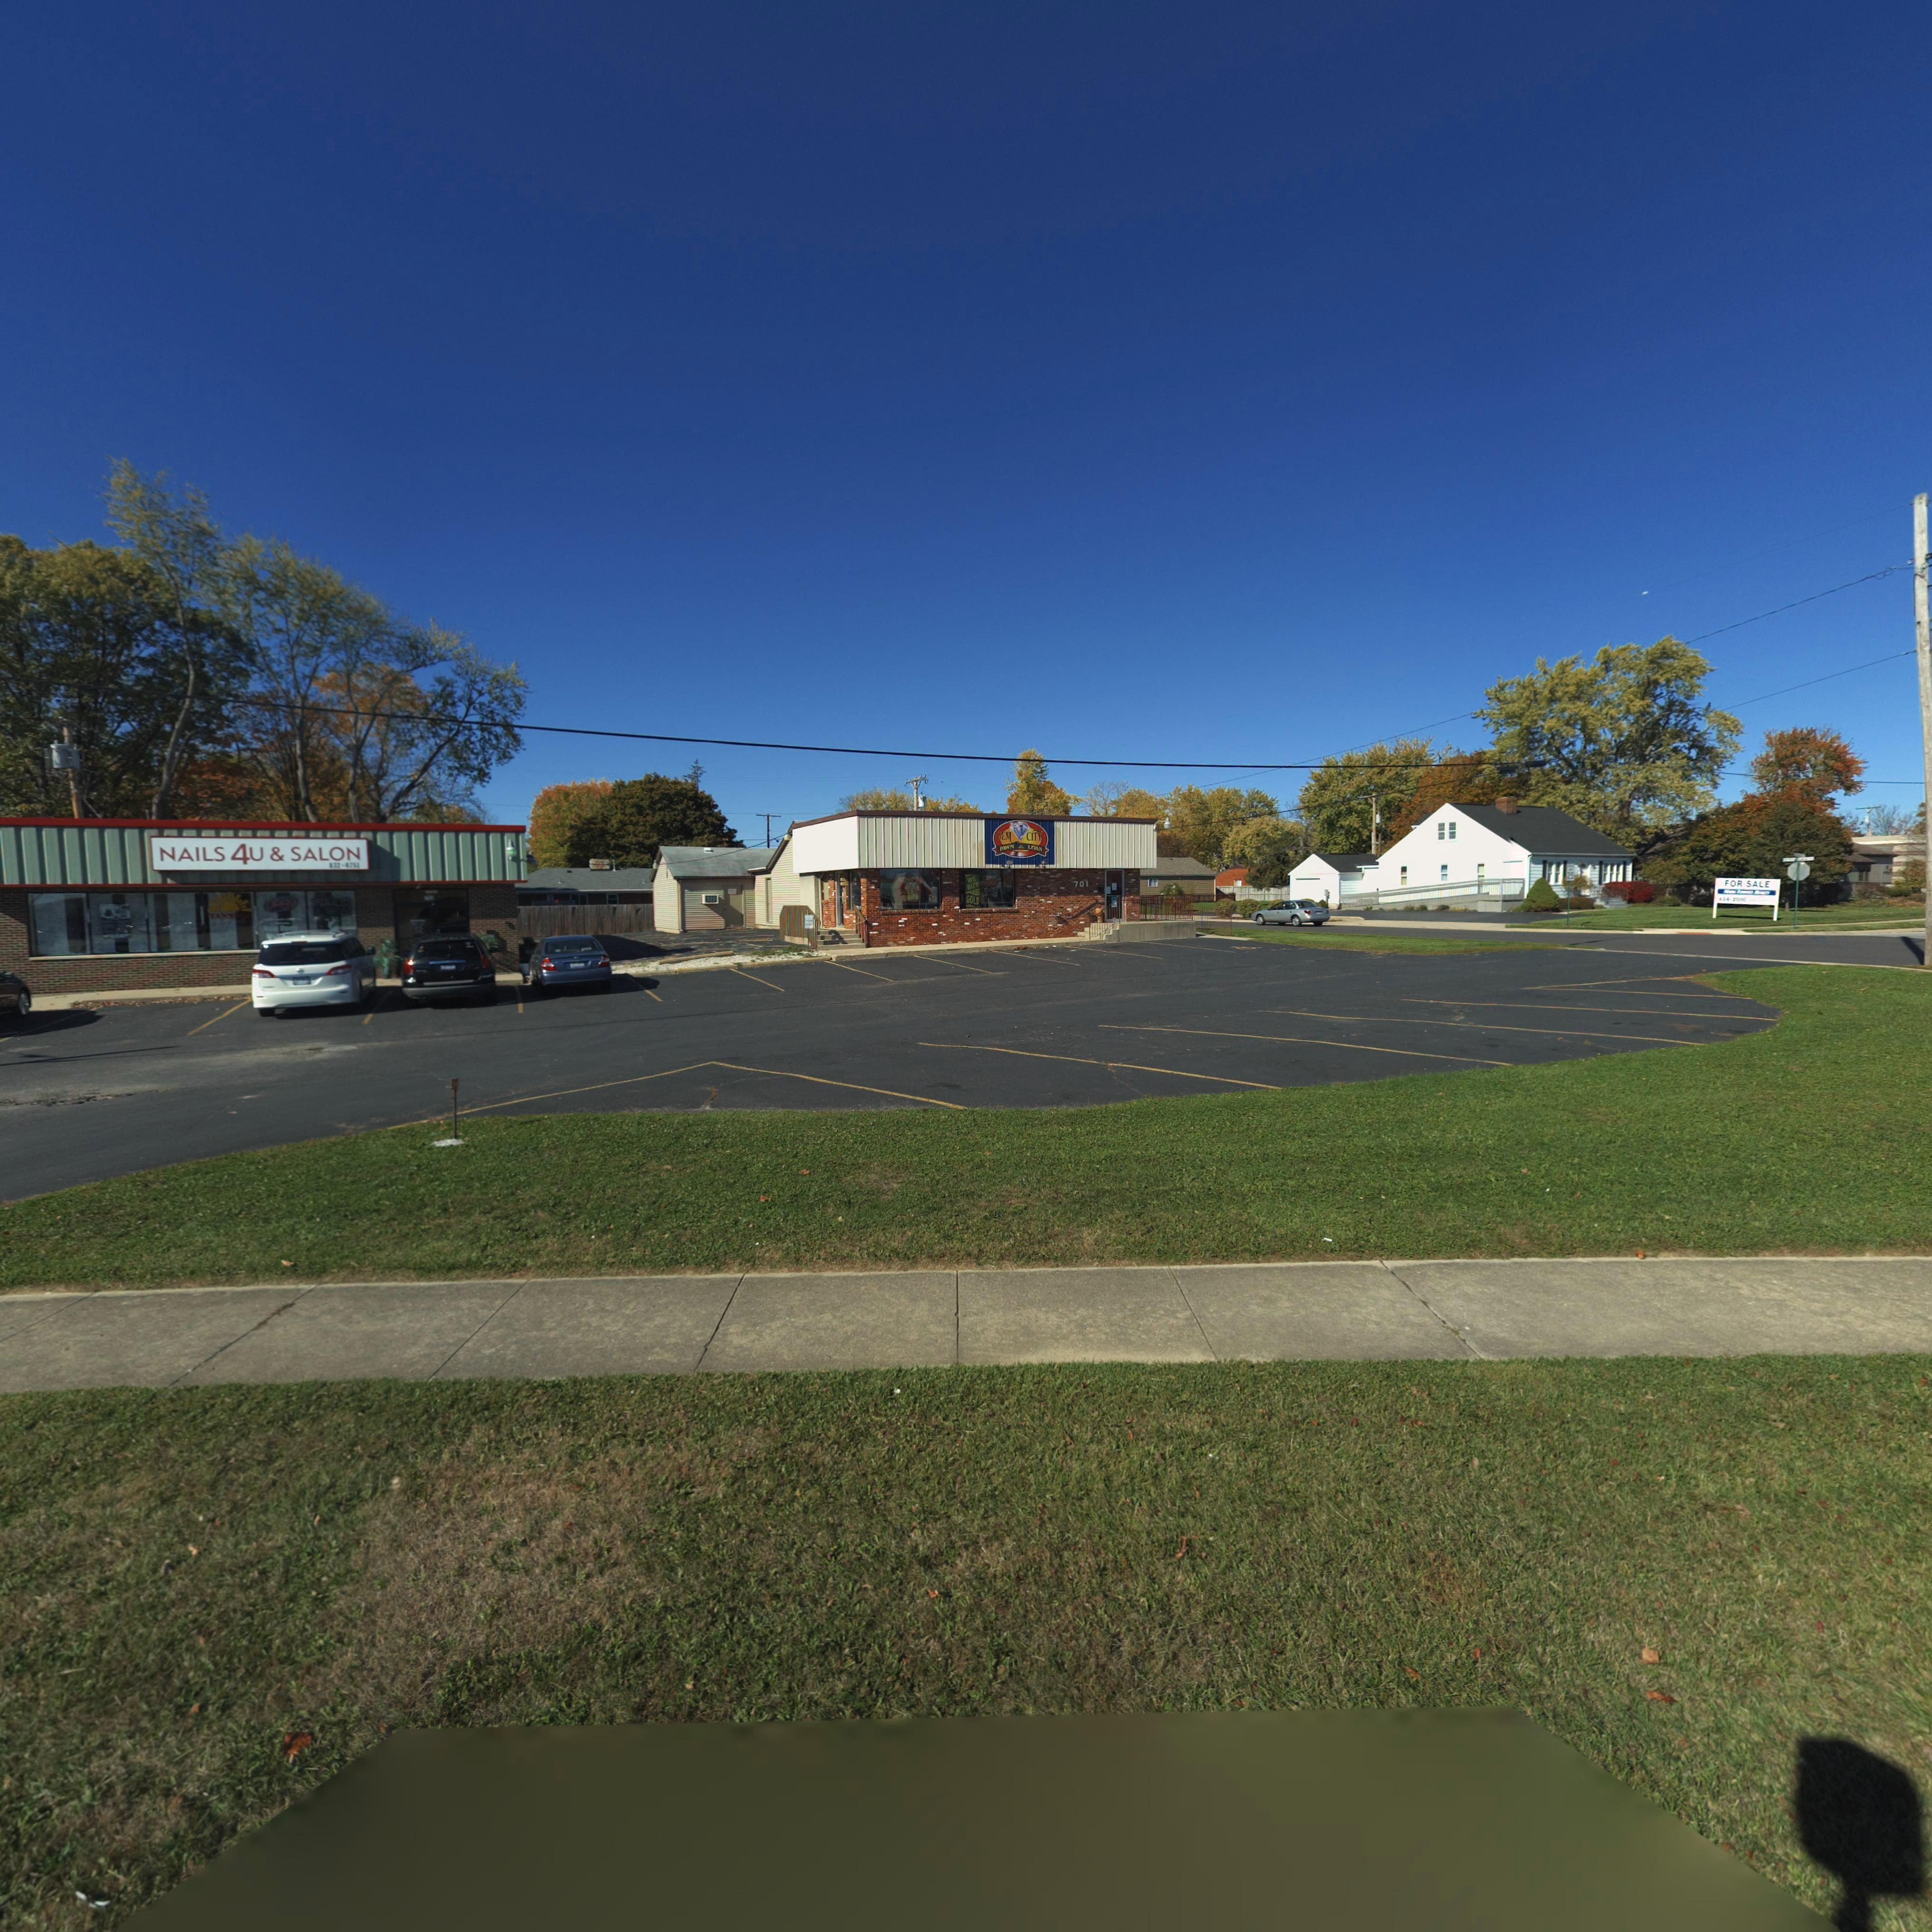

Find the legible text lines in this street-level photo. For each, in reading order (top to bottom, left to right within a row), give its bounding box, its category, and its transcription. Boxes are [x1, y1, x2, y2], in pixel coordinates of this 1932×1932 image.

[995, 830, 1043, 842] BusinessName: GEM CITY
[999, 843, 1043, 853] BusinessName: PAWN * LOAN
[159, 842, 361, 866] BusinessName: NAILS 4U & SALON
[1072, 880, 1089, 889] StreetNumber: 701
[209, 912, 236, 920] None: TANN